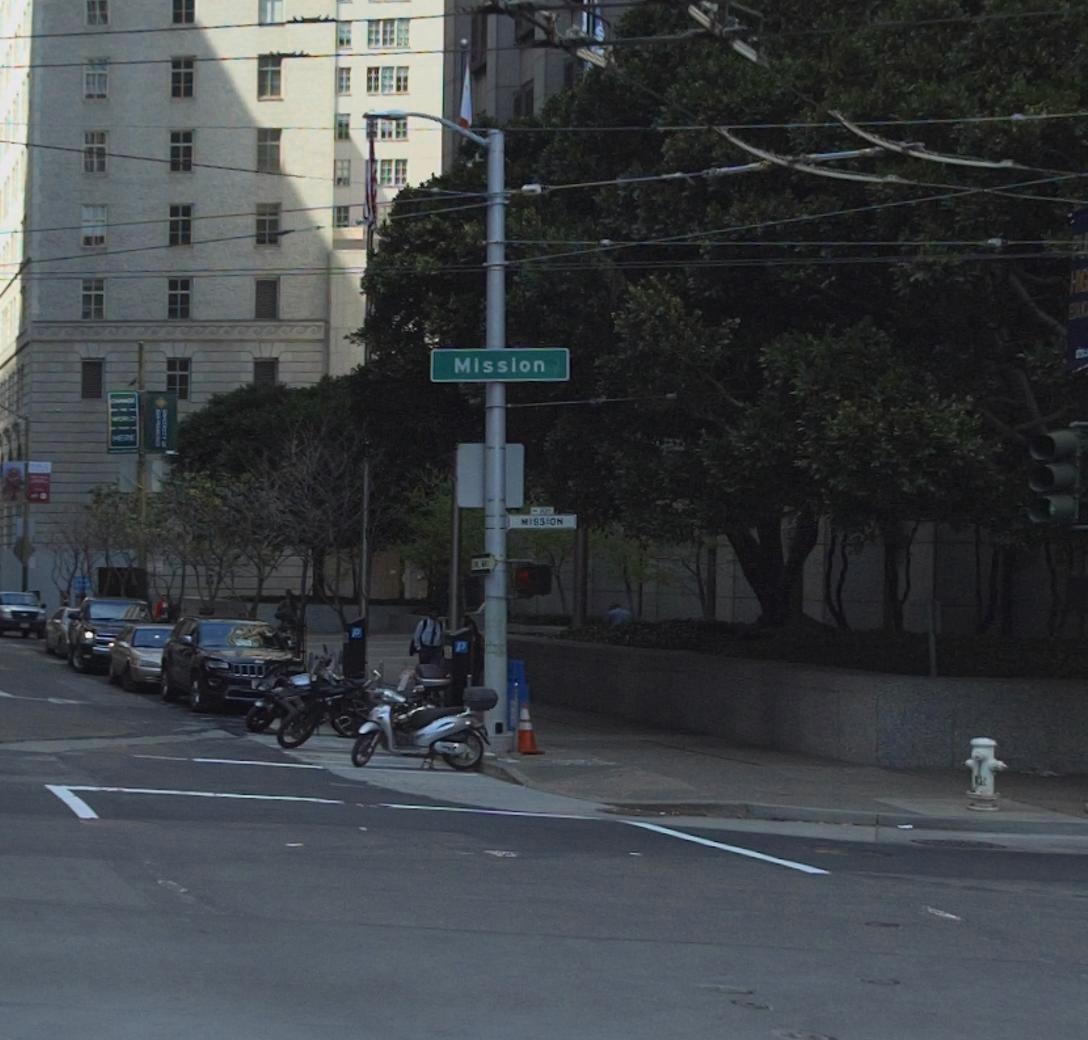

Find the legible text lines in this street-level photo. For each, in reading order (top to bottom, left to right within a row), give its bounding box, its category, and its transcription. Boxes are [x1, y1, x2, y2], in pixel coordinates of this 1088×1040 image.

[453, 354, 544, 373] StreetName: Mission
[520, 516, 564, 527] StreetName: MISSION